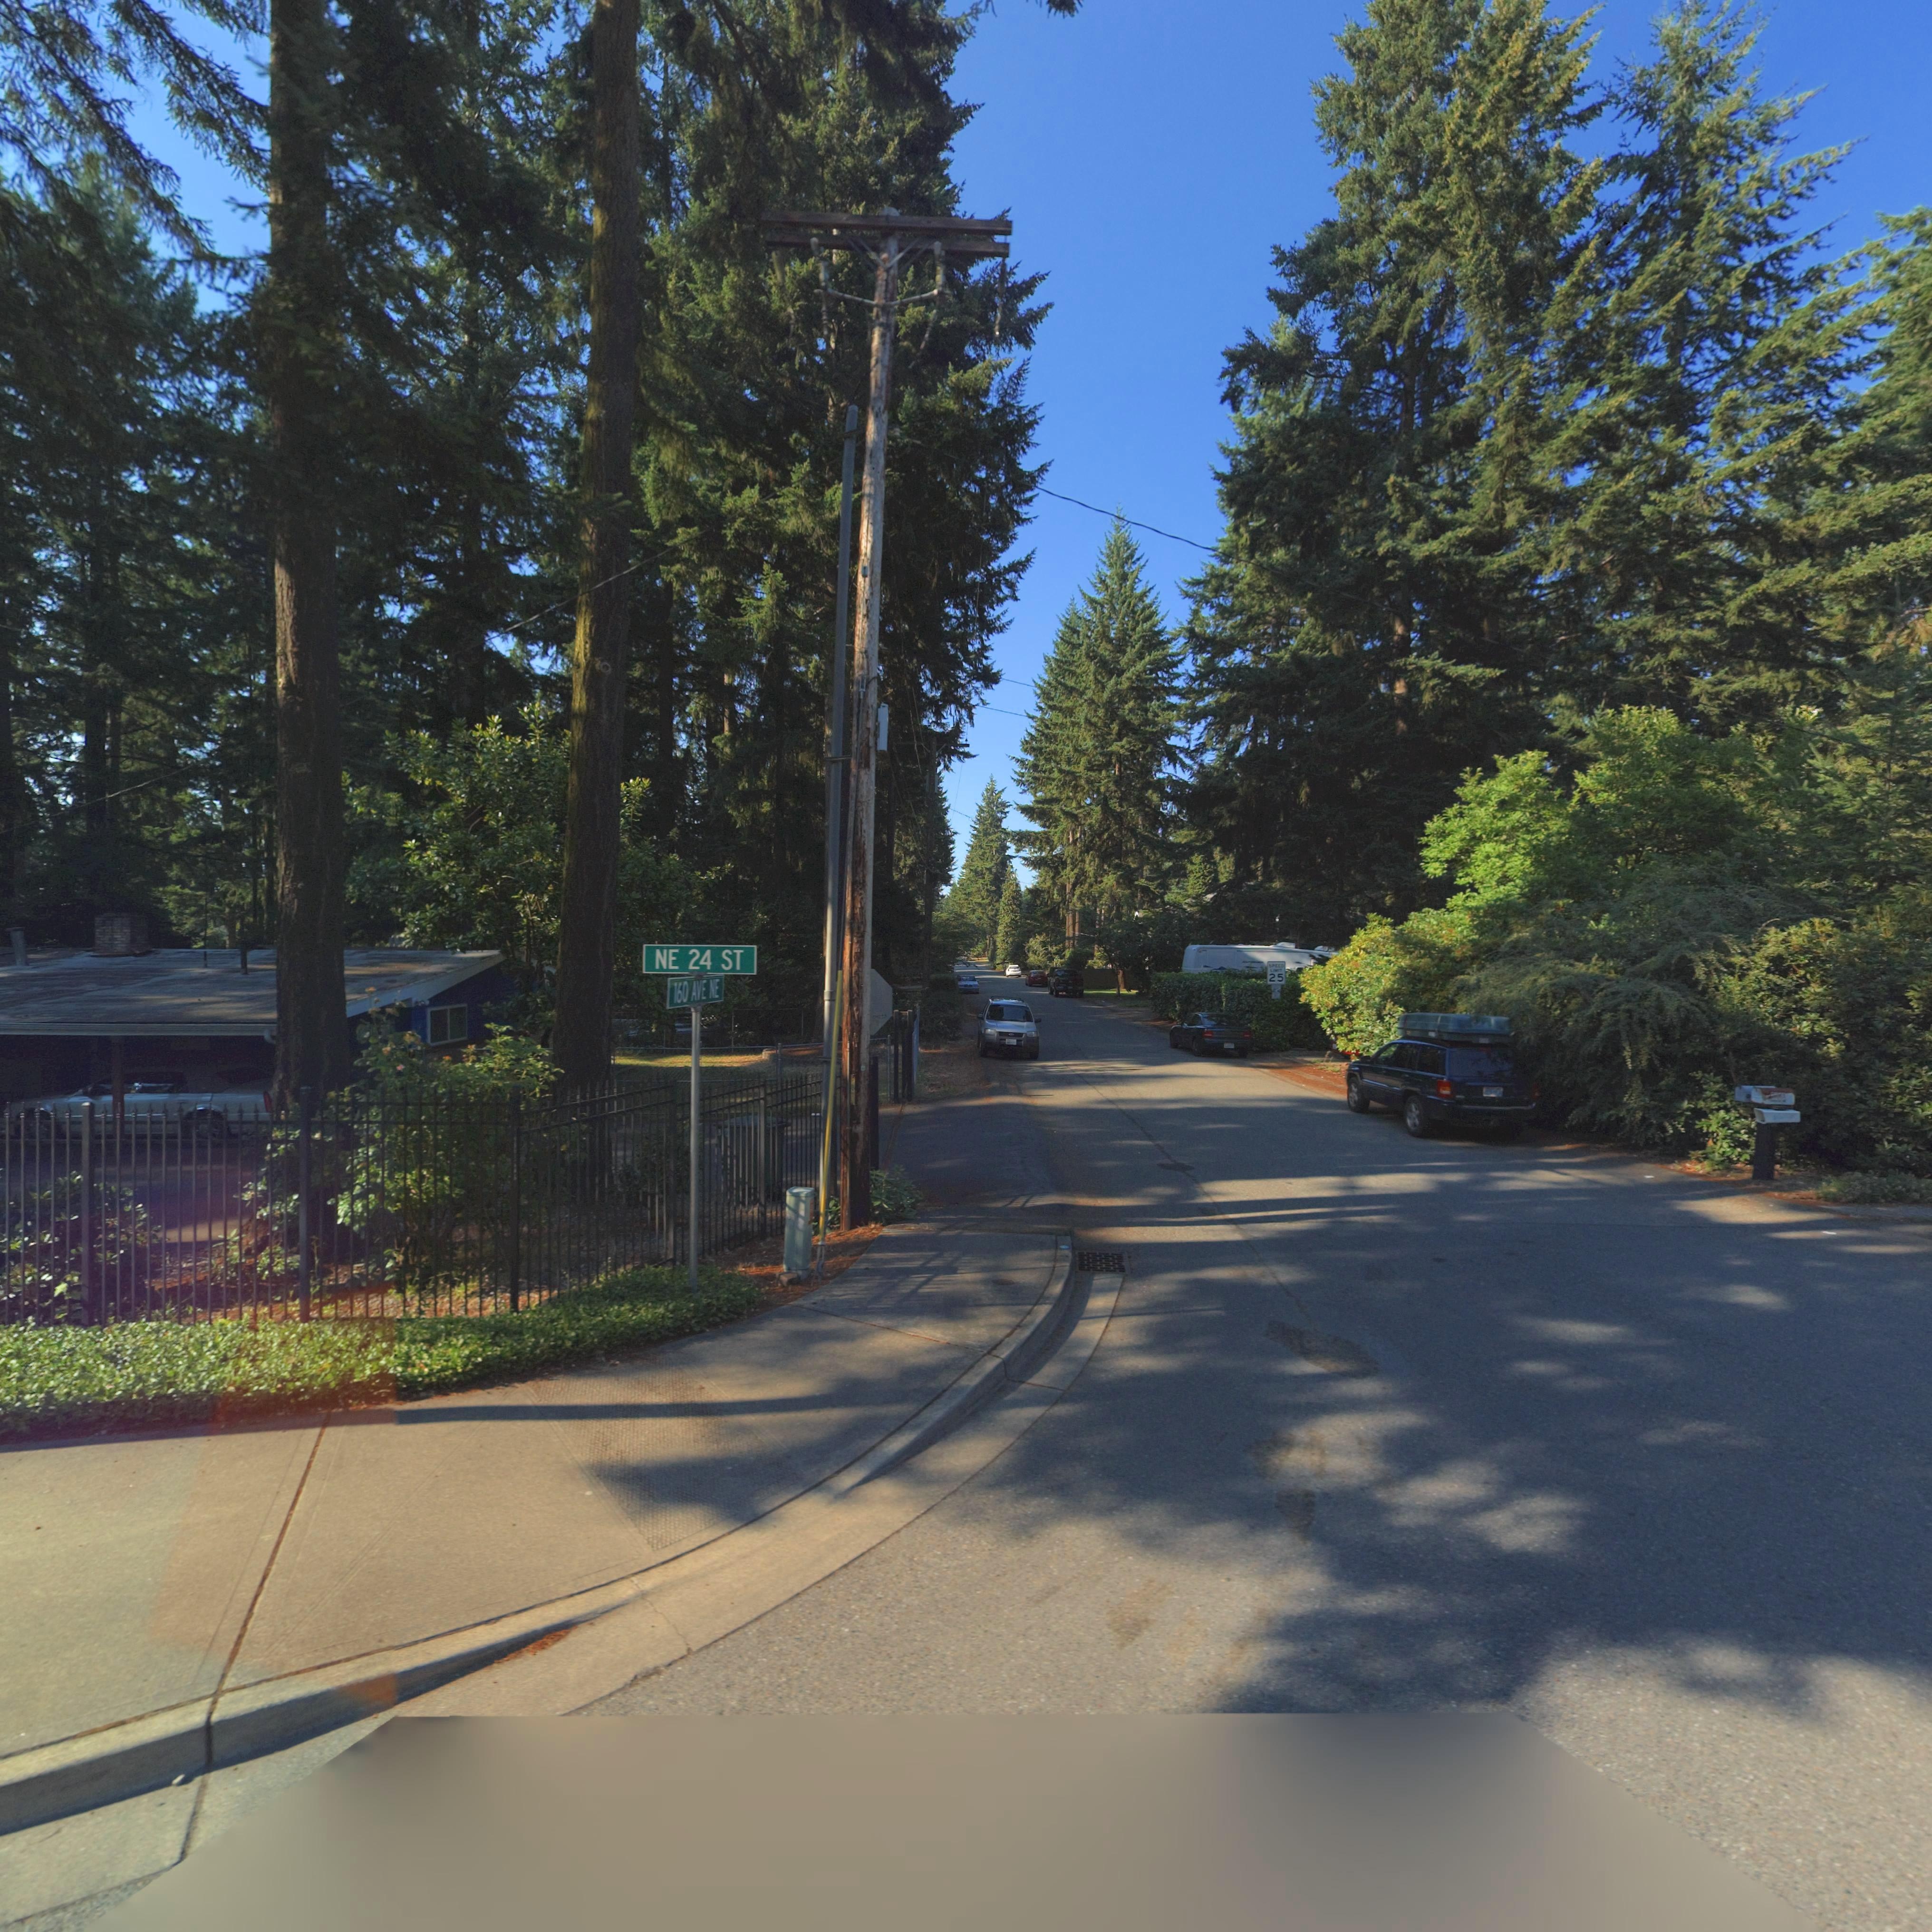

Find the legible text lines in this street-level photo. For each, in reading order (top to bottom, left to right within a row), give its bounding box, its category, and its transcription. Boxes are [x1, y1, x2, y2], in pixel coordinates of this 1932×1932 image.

[655, 948, 744, 971] StreetName: NE 24 ST
[673, 978, 723, 1005] StreetName: 160 AVE NE